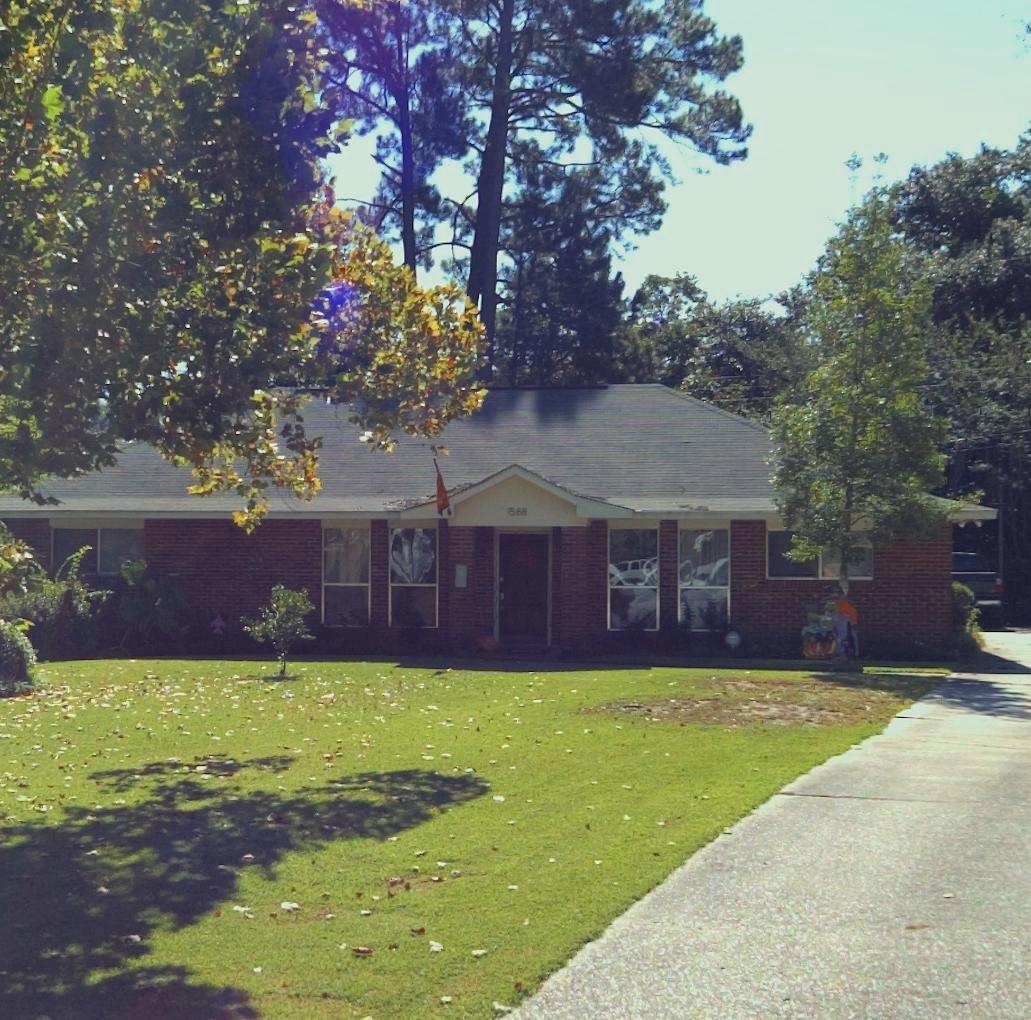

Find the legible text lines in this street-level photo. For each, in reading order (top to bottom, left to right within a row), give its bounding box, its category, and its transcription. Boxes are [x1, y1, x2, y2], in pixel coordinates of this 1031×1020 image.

[505, 505, 529, 518] StreetNumber: 1588